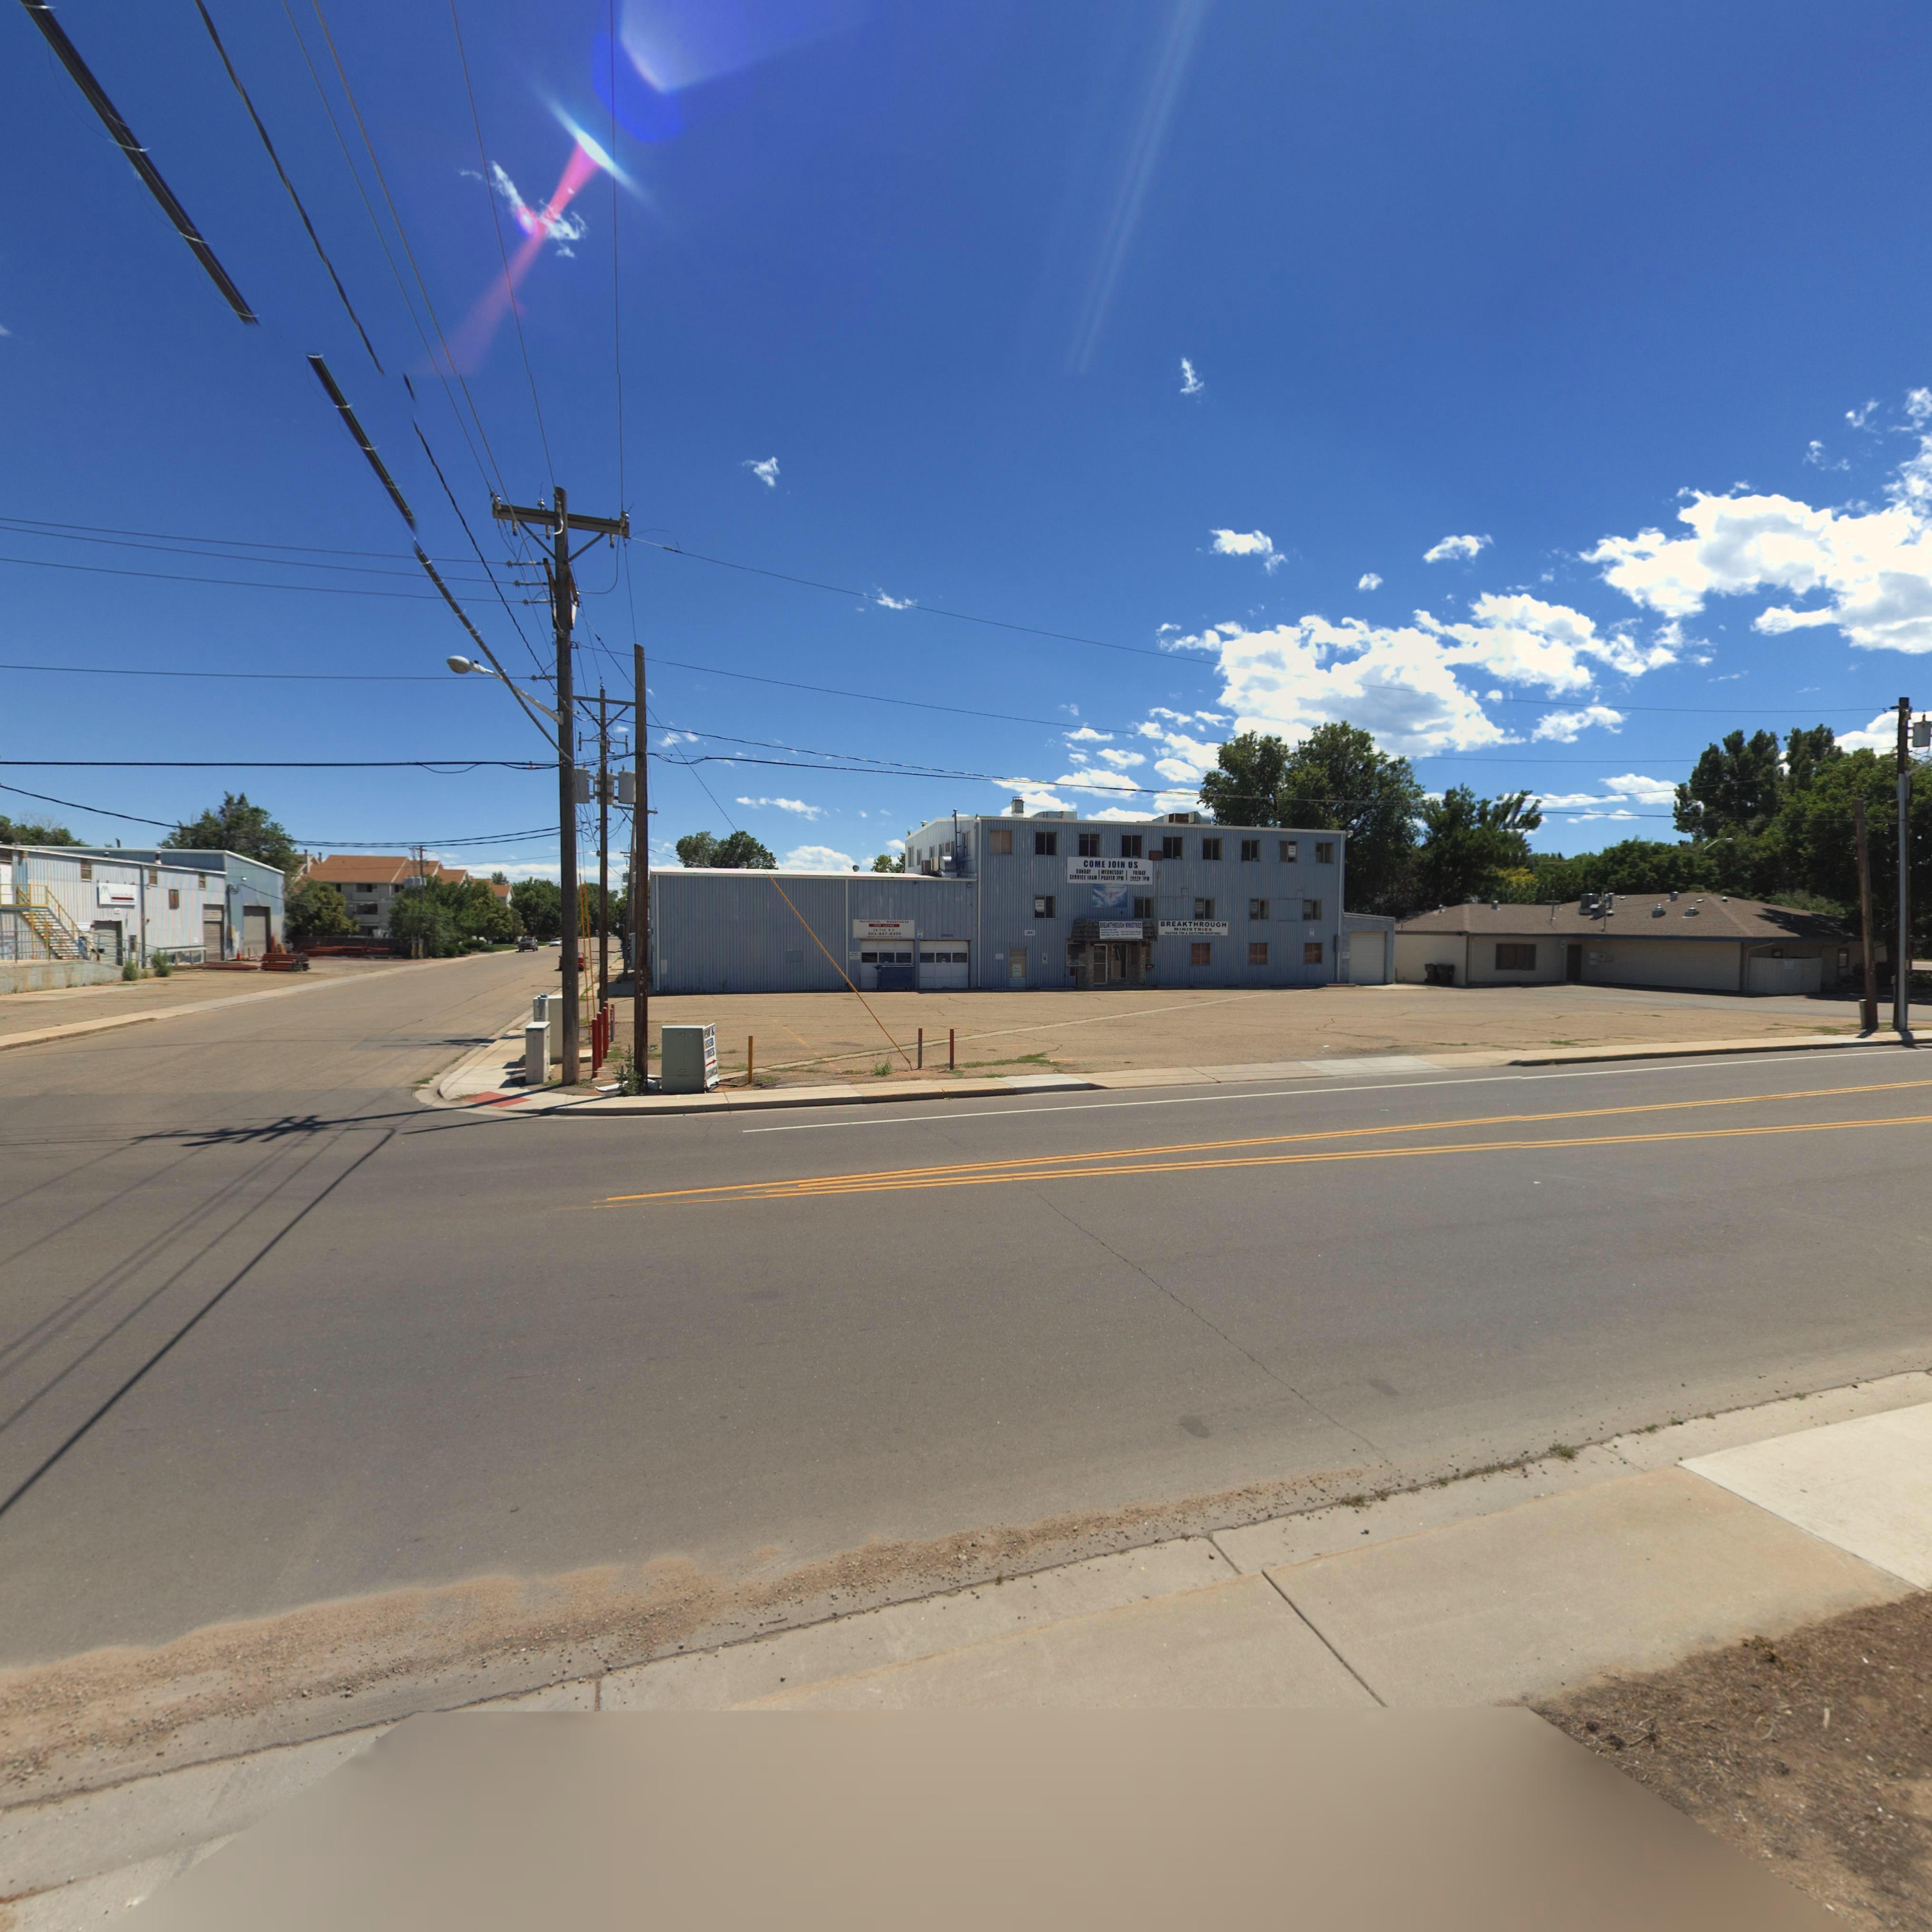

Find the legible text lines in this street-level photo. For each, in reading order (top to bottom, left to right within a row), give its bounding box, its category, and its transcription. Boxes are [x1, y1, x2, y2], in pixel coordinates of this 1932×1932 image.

[99, 885, 110, 894] BusinessName: M
[1100, 922, 1142, 928] BusinessName: BREAKTRHOUGH  MINISTRIES
[1159, 921, 1227, 927] BusinessName: BREAKTHROUGH
[1173, 927, 1212, 931] BusinessName: MINISTRIES